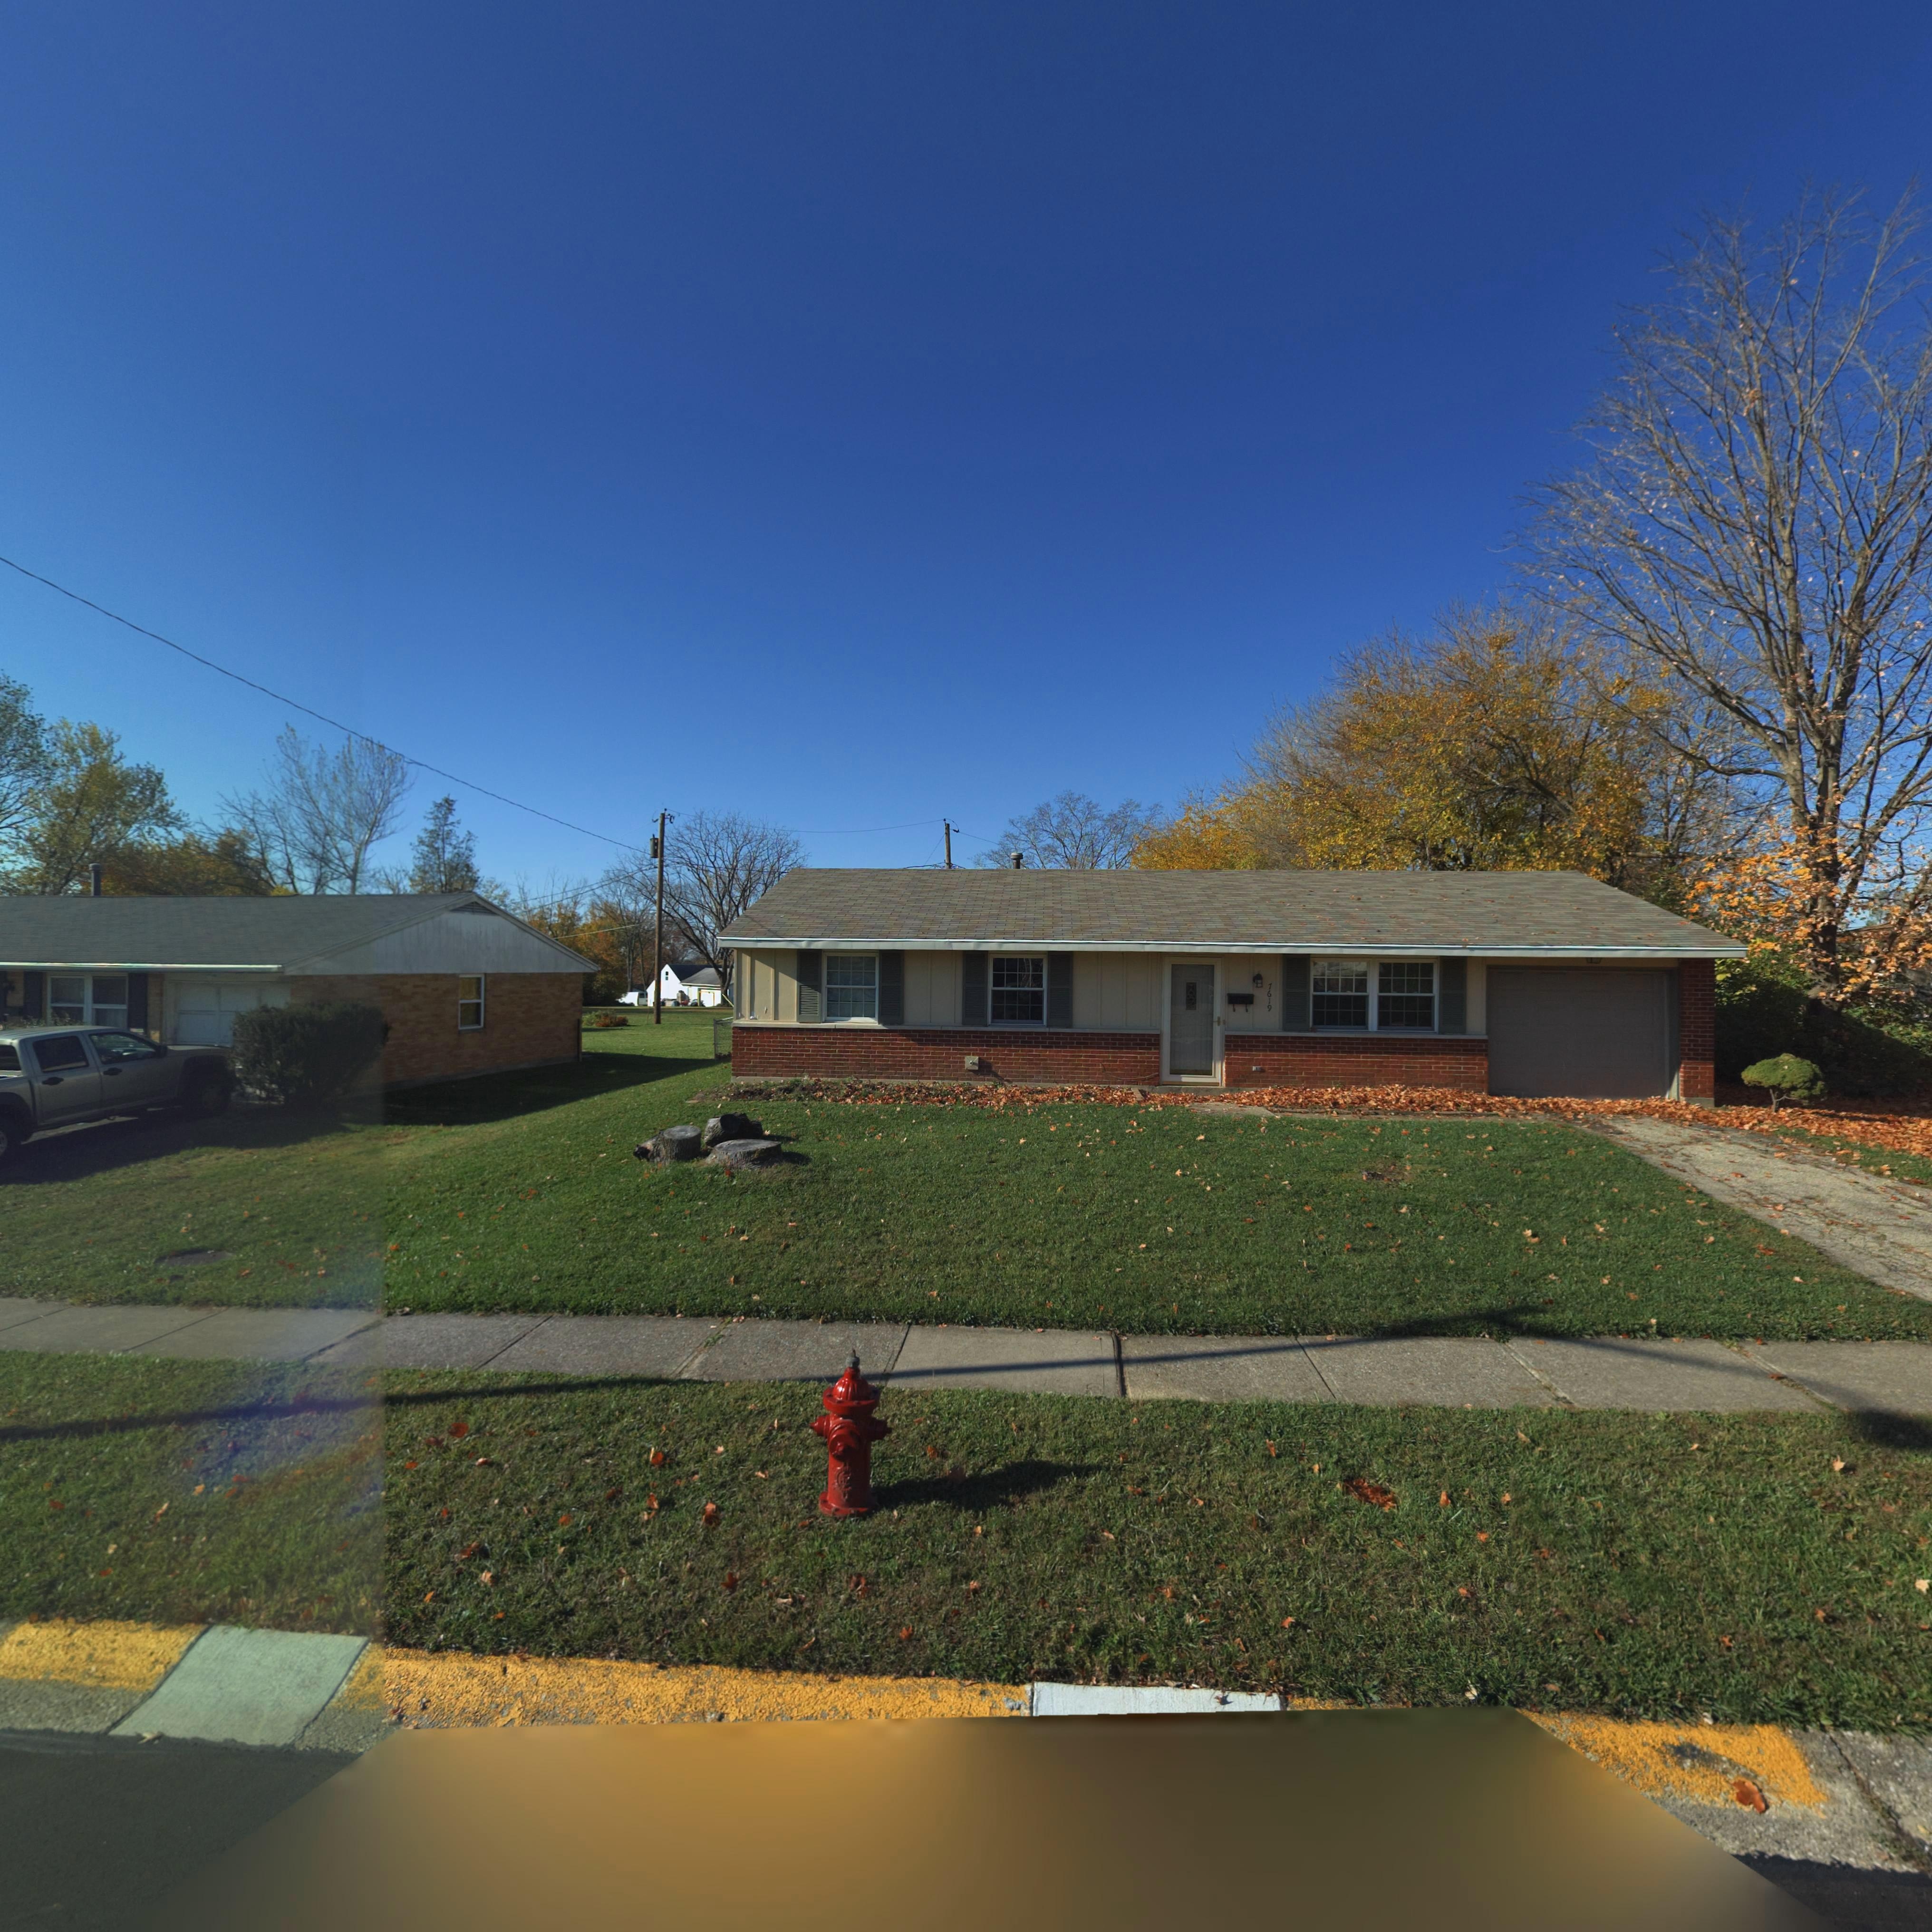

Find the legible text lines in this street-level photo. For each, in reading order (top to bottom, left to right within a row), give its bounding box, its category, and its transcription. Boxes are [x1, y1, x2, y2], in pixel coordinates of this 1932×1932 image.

[1265, 981, 1273, 1013] StreetNumber: 7619